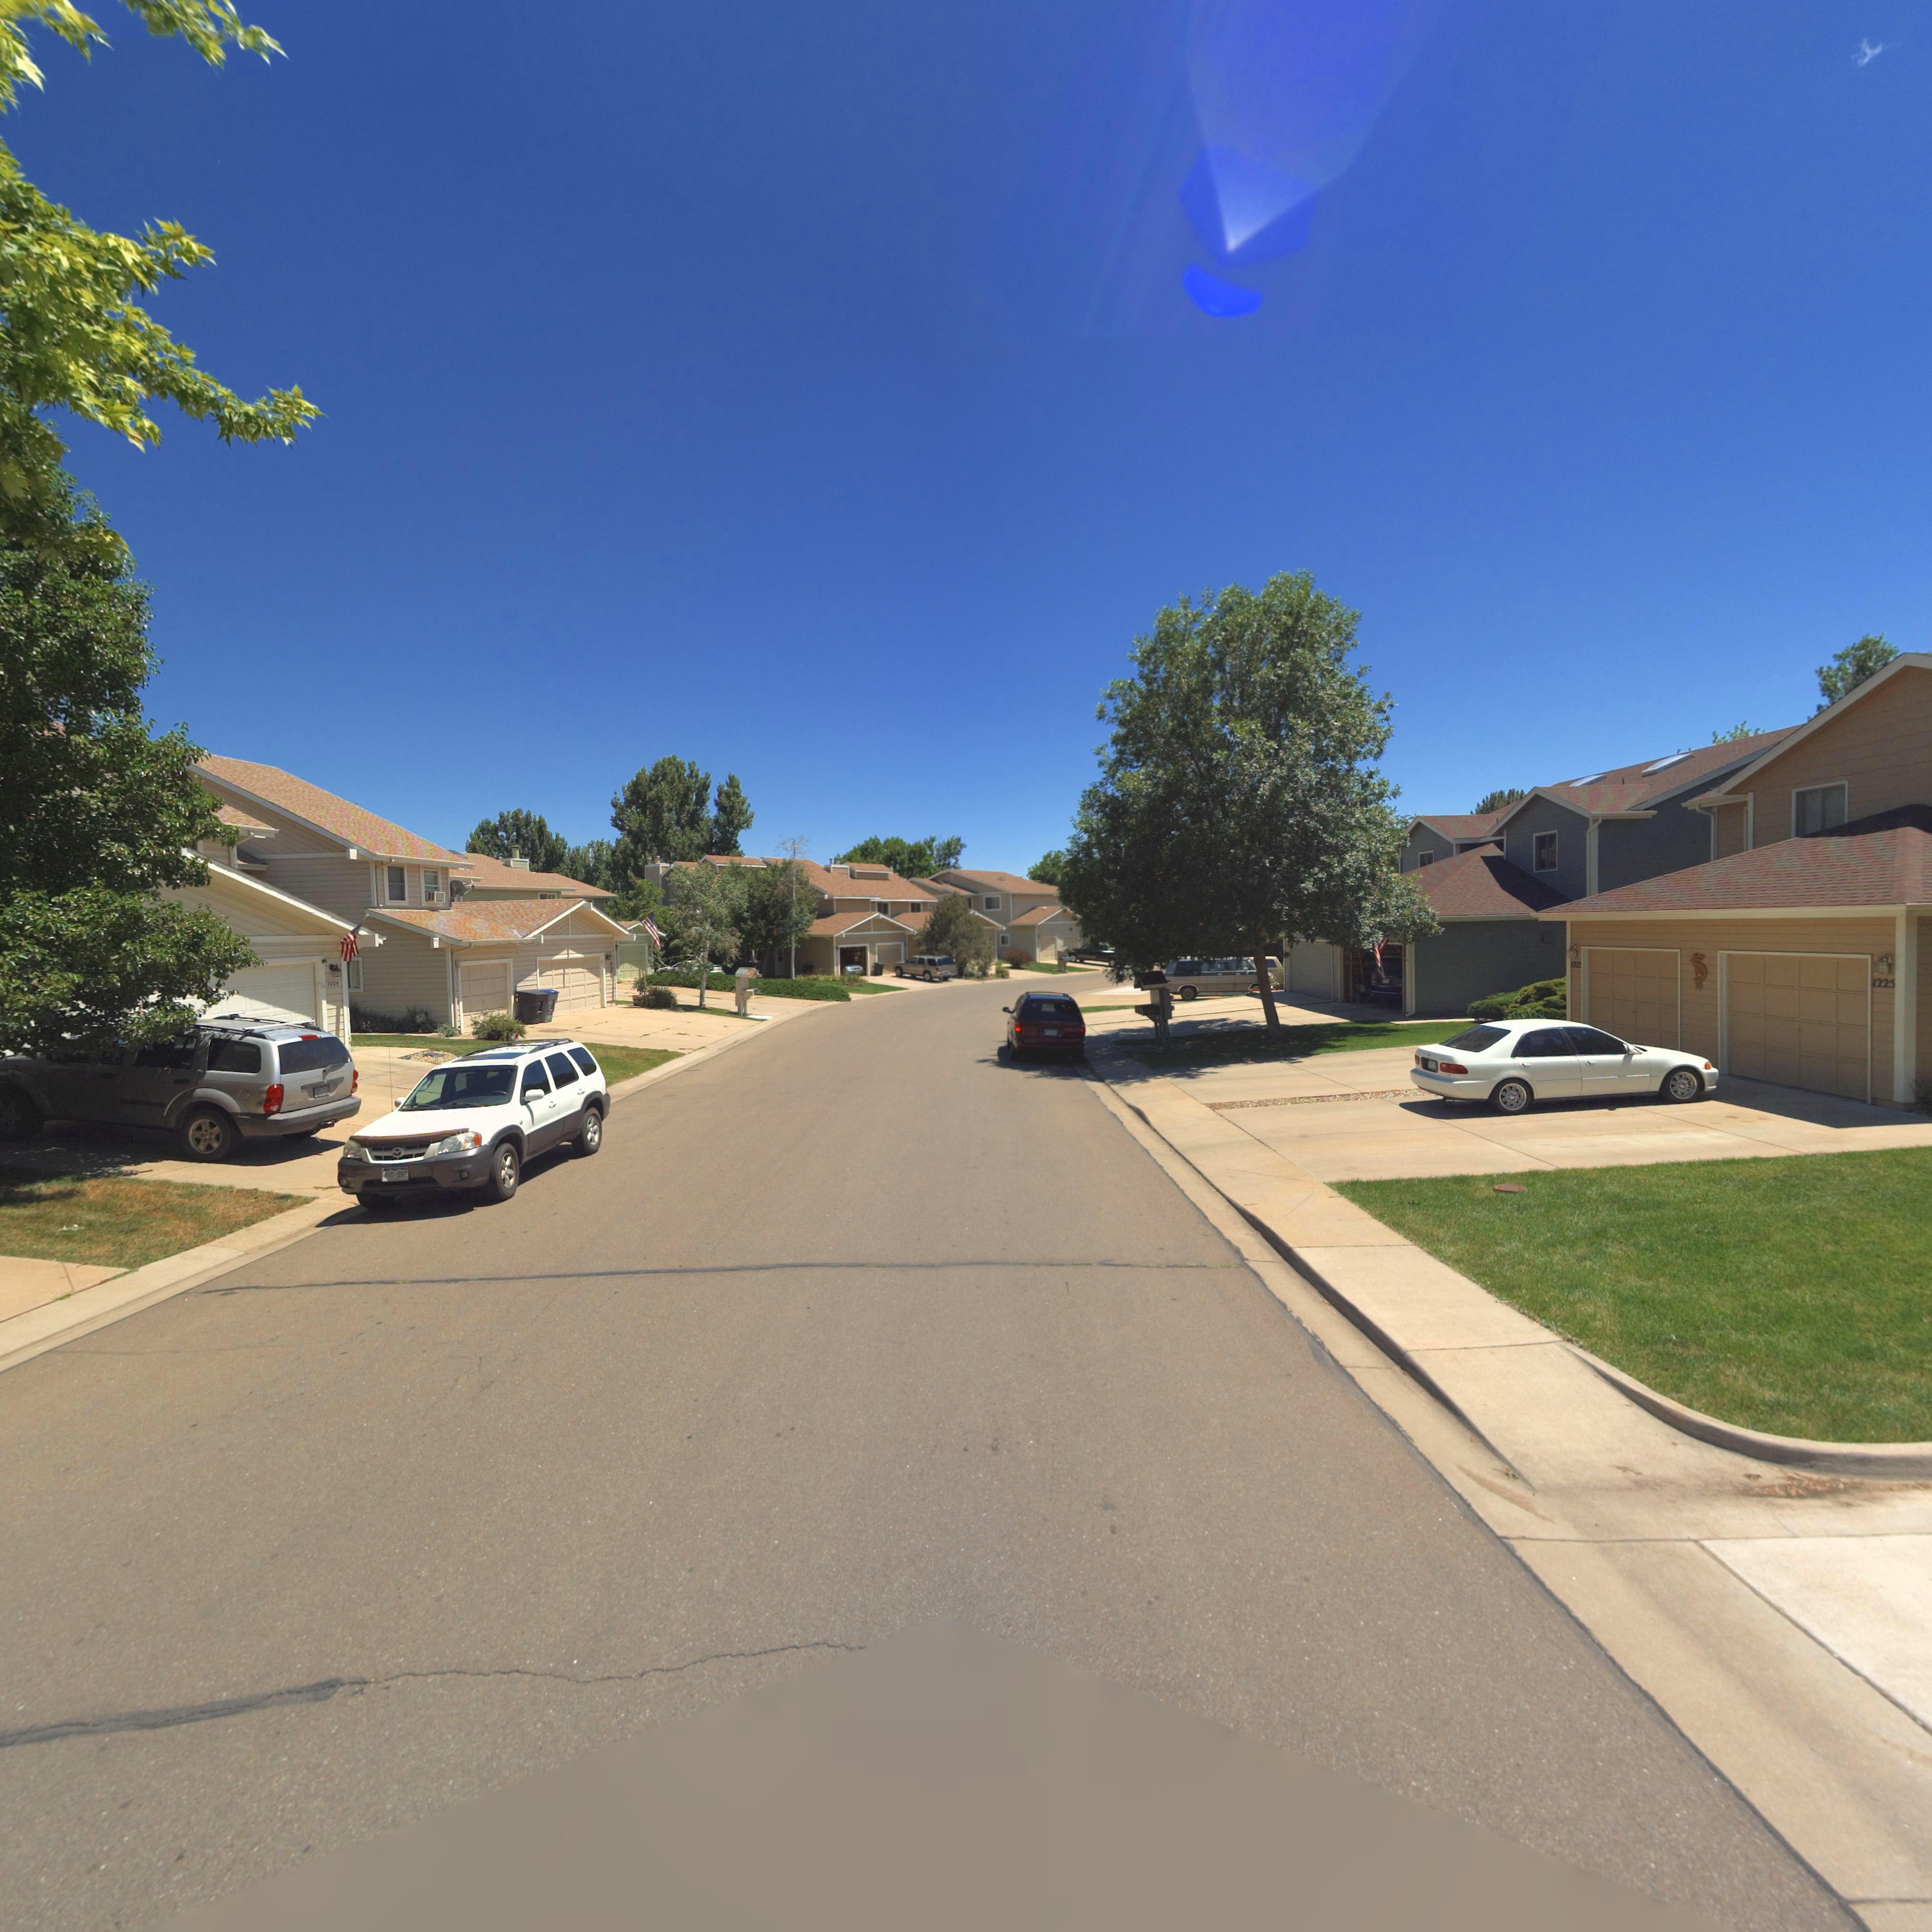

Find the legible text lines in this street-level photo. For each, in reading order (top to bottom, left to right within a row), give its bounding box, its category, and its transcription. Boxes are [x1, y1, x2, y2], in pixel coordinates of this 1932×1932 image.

[609, 961, 613, 972] StreetNumber: 22
[1571, 961, 1581, 968] StreetNumber: 1223
[327, 980, 338, 987] StreetNumber: 1224
[455, 975, 459, 1001] StreetNumber: 122*
[1873, 977, 1895, 988] StreetNumber: 1225